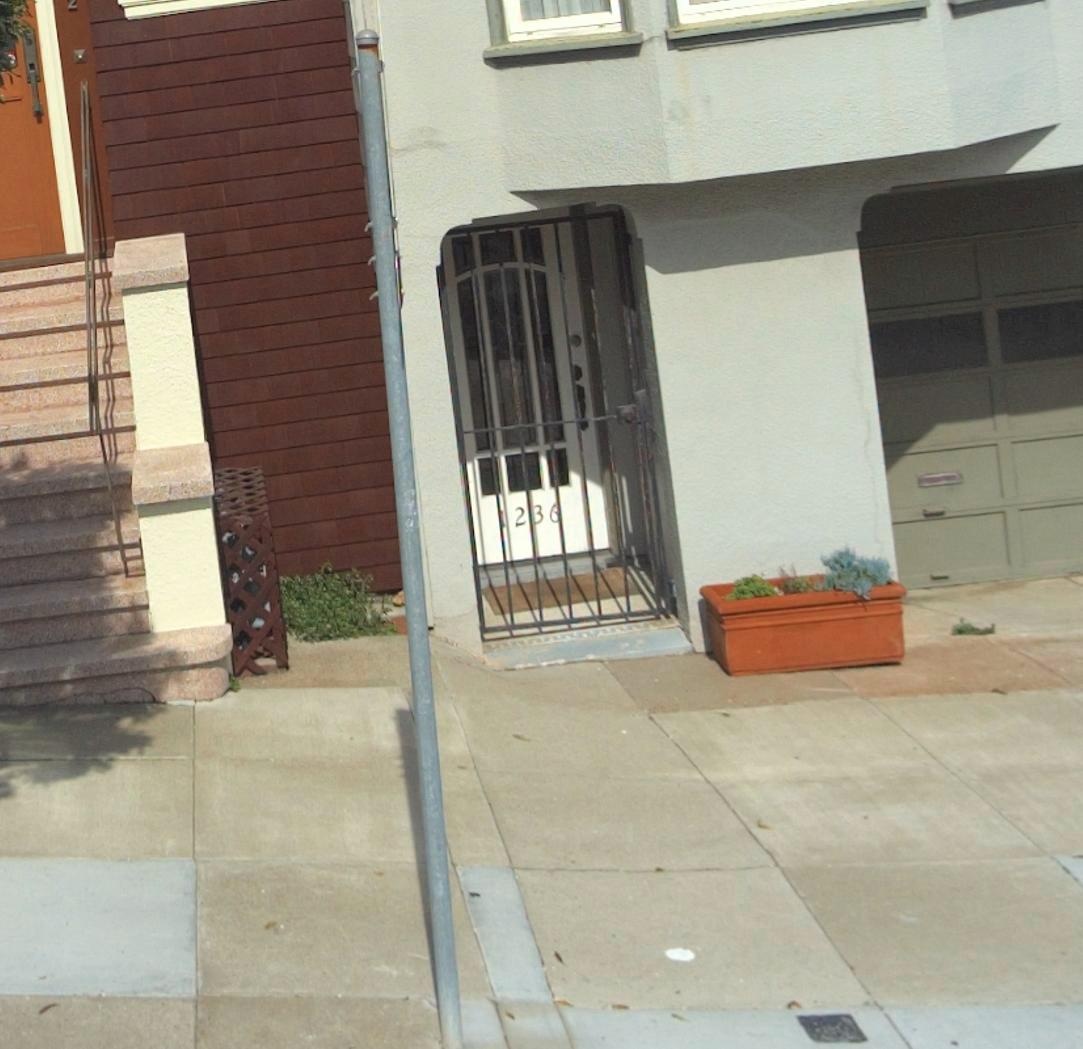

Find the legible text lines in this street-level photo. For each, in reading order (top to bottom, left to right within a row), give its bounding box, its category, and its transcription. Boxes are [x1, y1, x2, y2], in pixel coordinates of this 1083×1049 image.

[498, 501, 561, 529] StreetNumber: *236